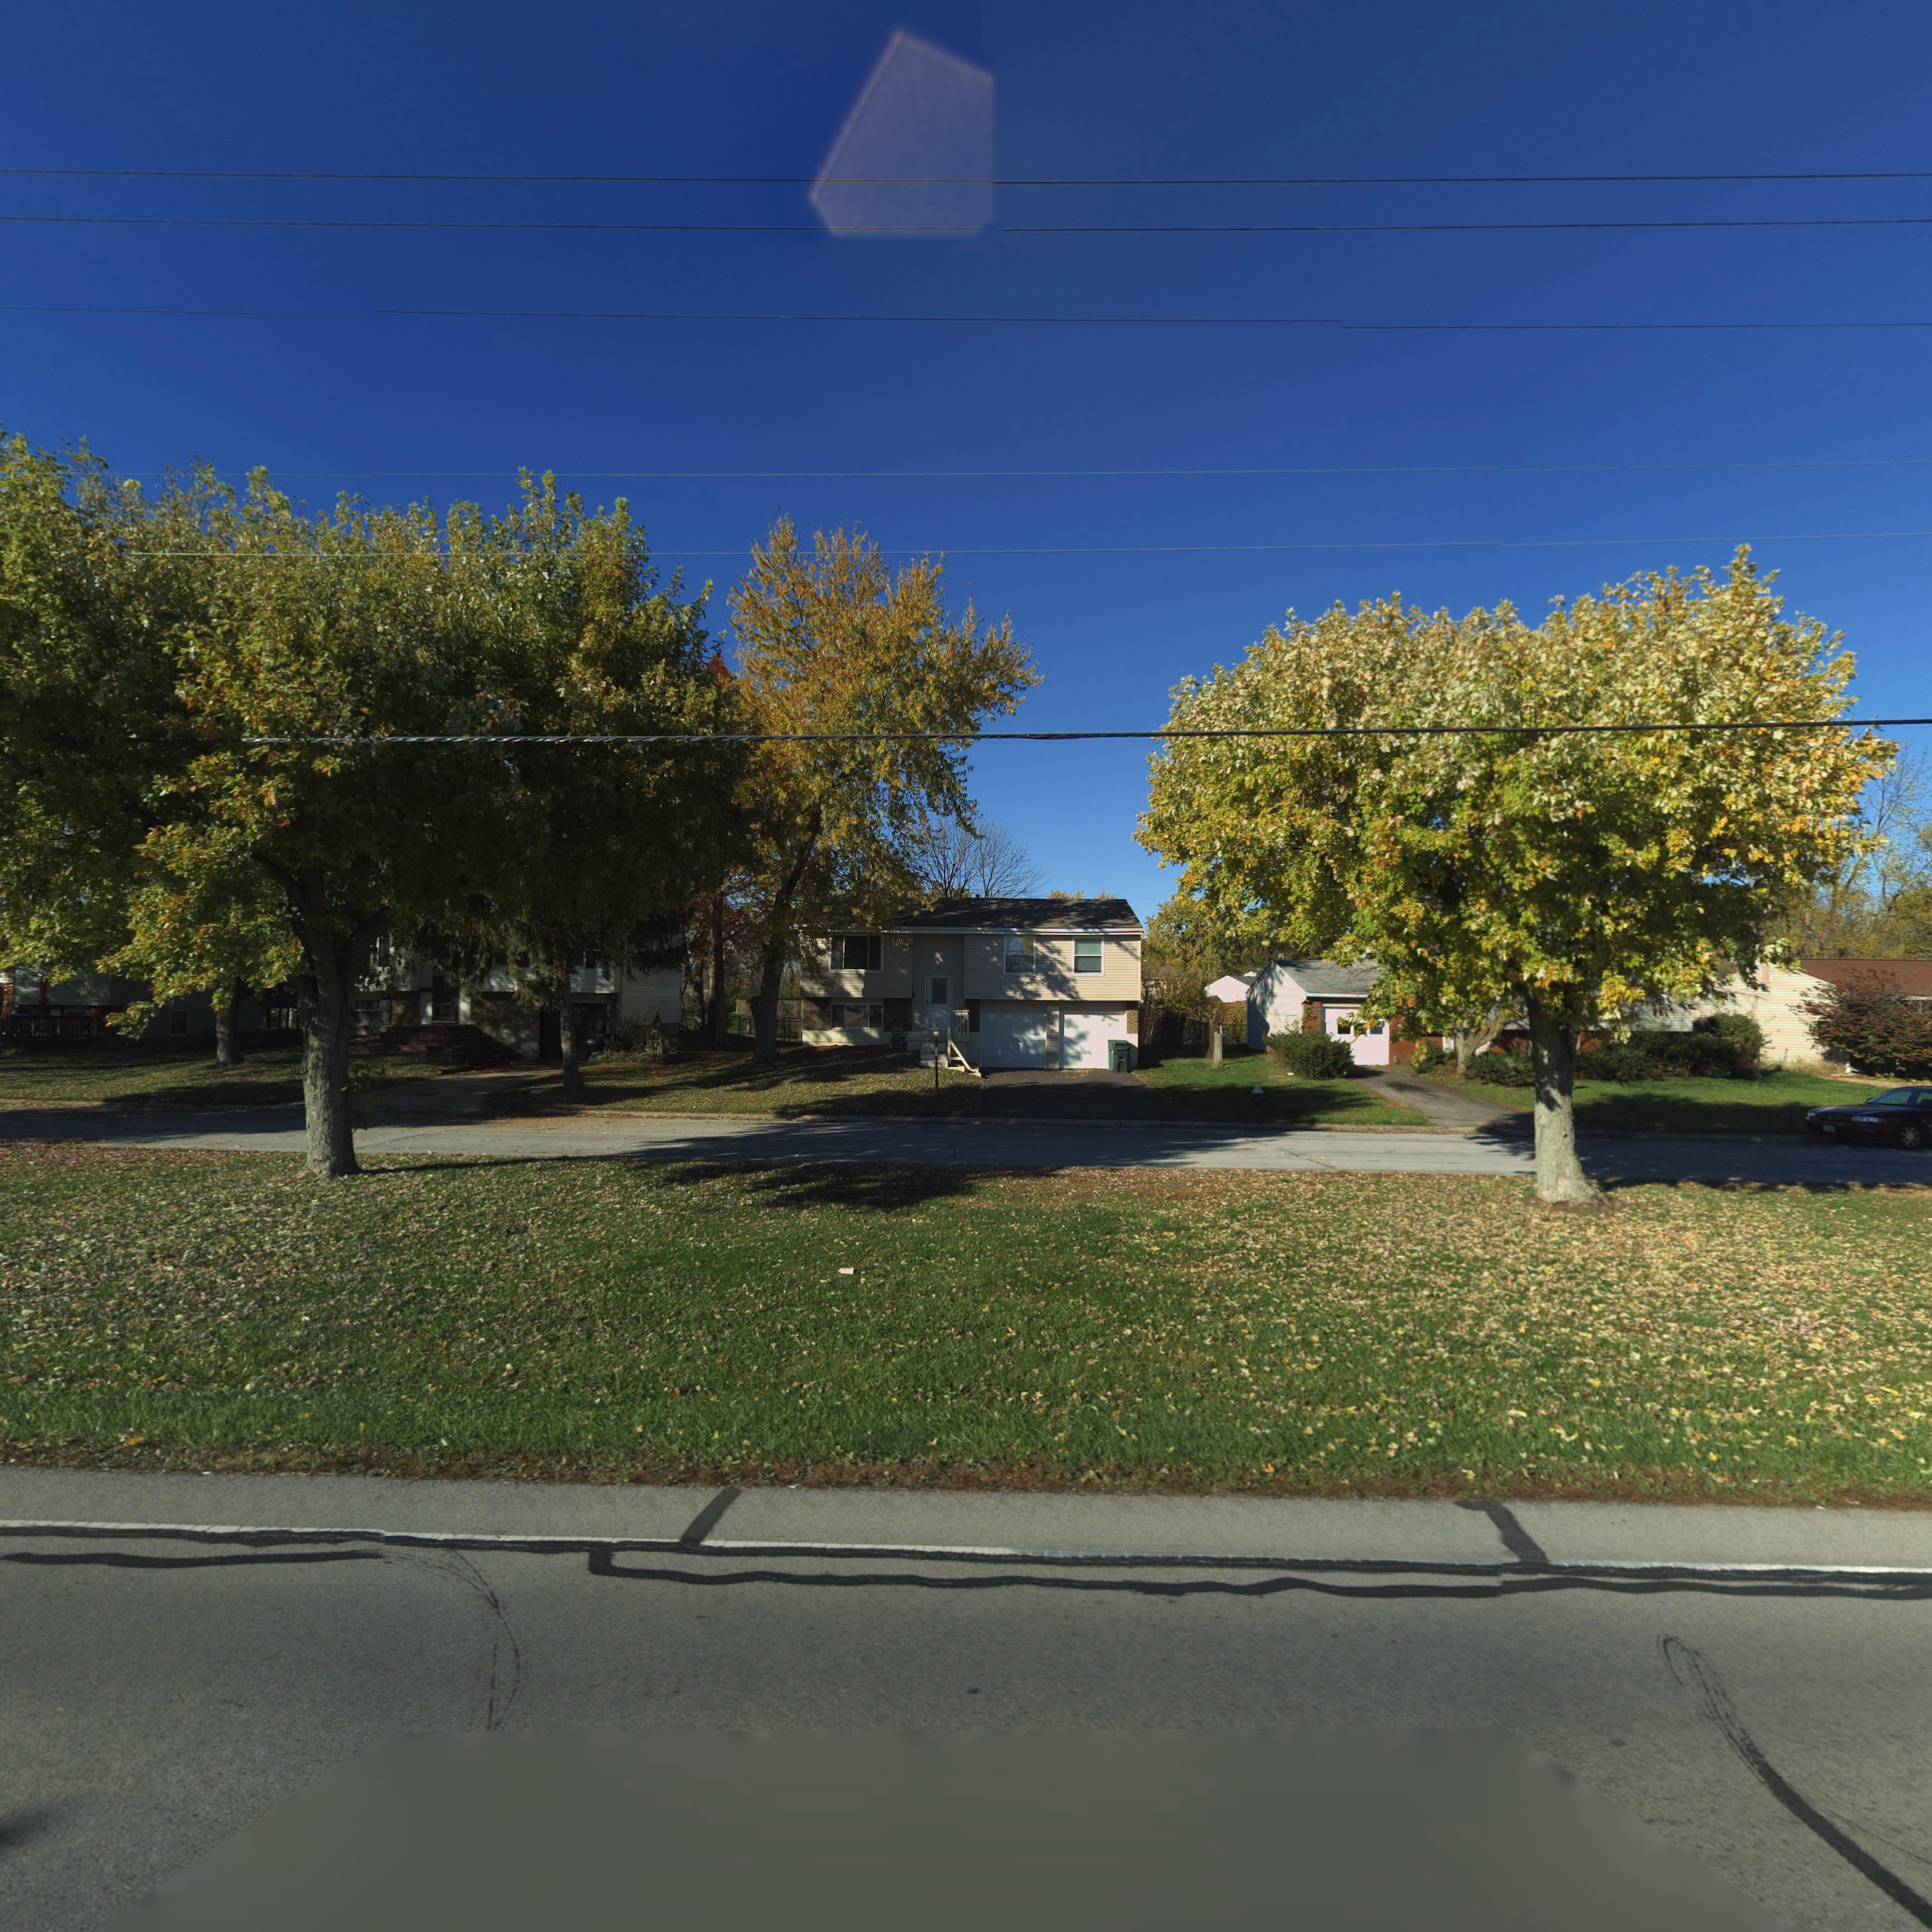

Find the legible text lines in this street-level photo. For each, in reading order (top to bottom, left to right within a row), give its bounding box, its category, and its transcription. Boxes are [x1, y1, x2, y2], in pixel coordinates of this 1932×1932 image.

[1049, 1006, 1057, 1010] StreetNumber: **4